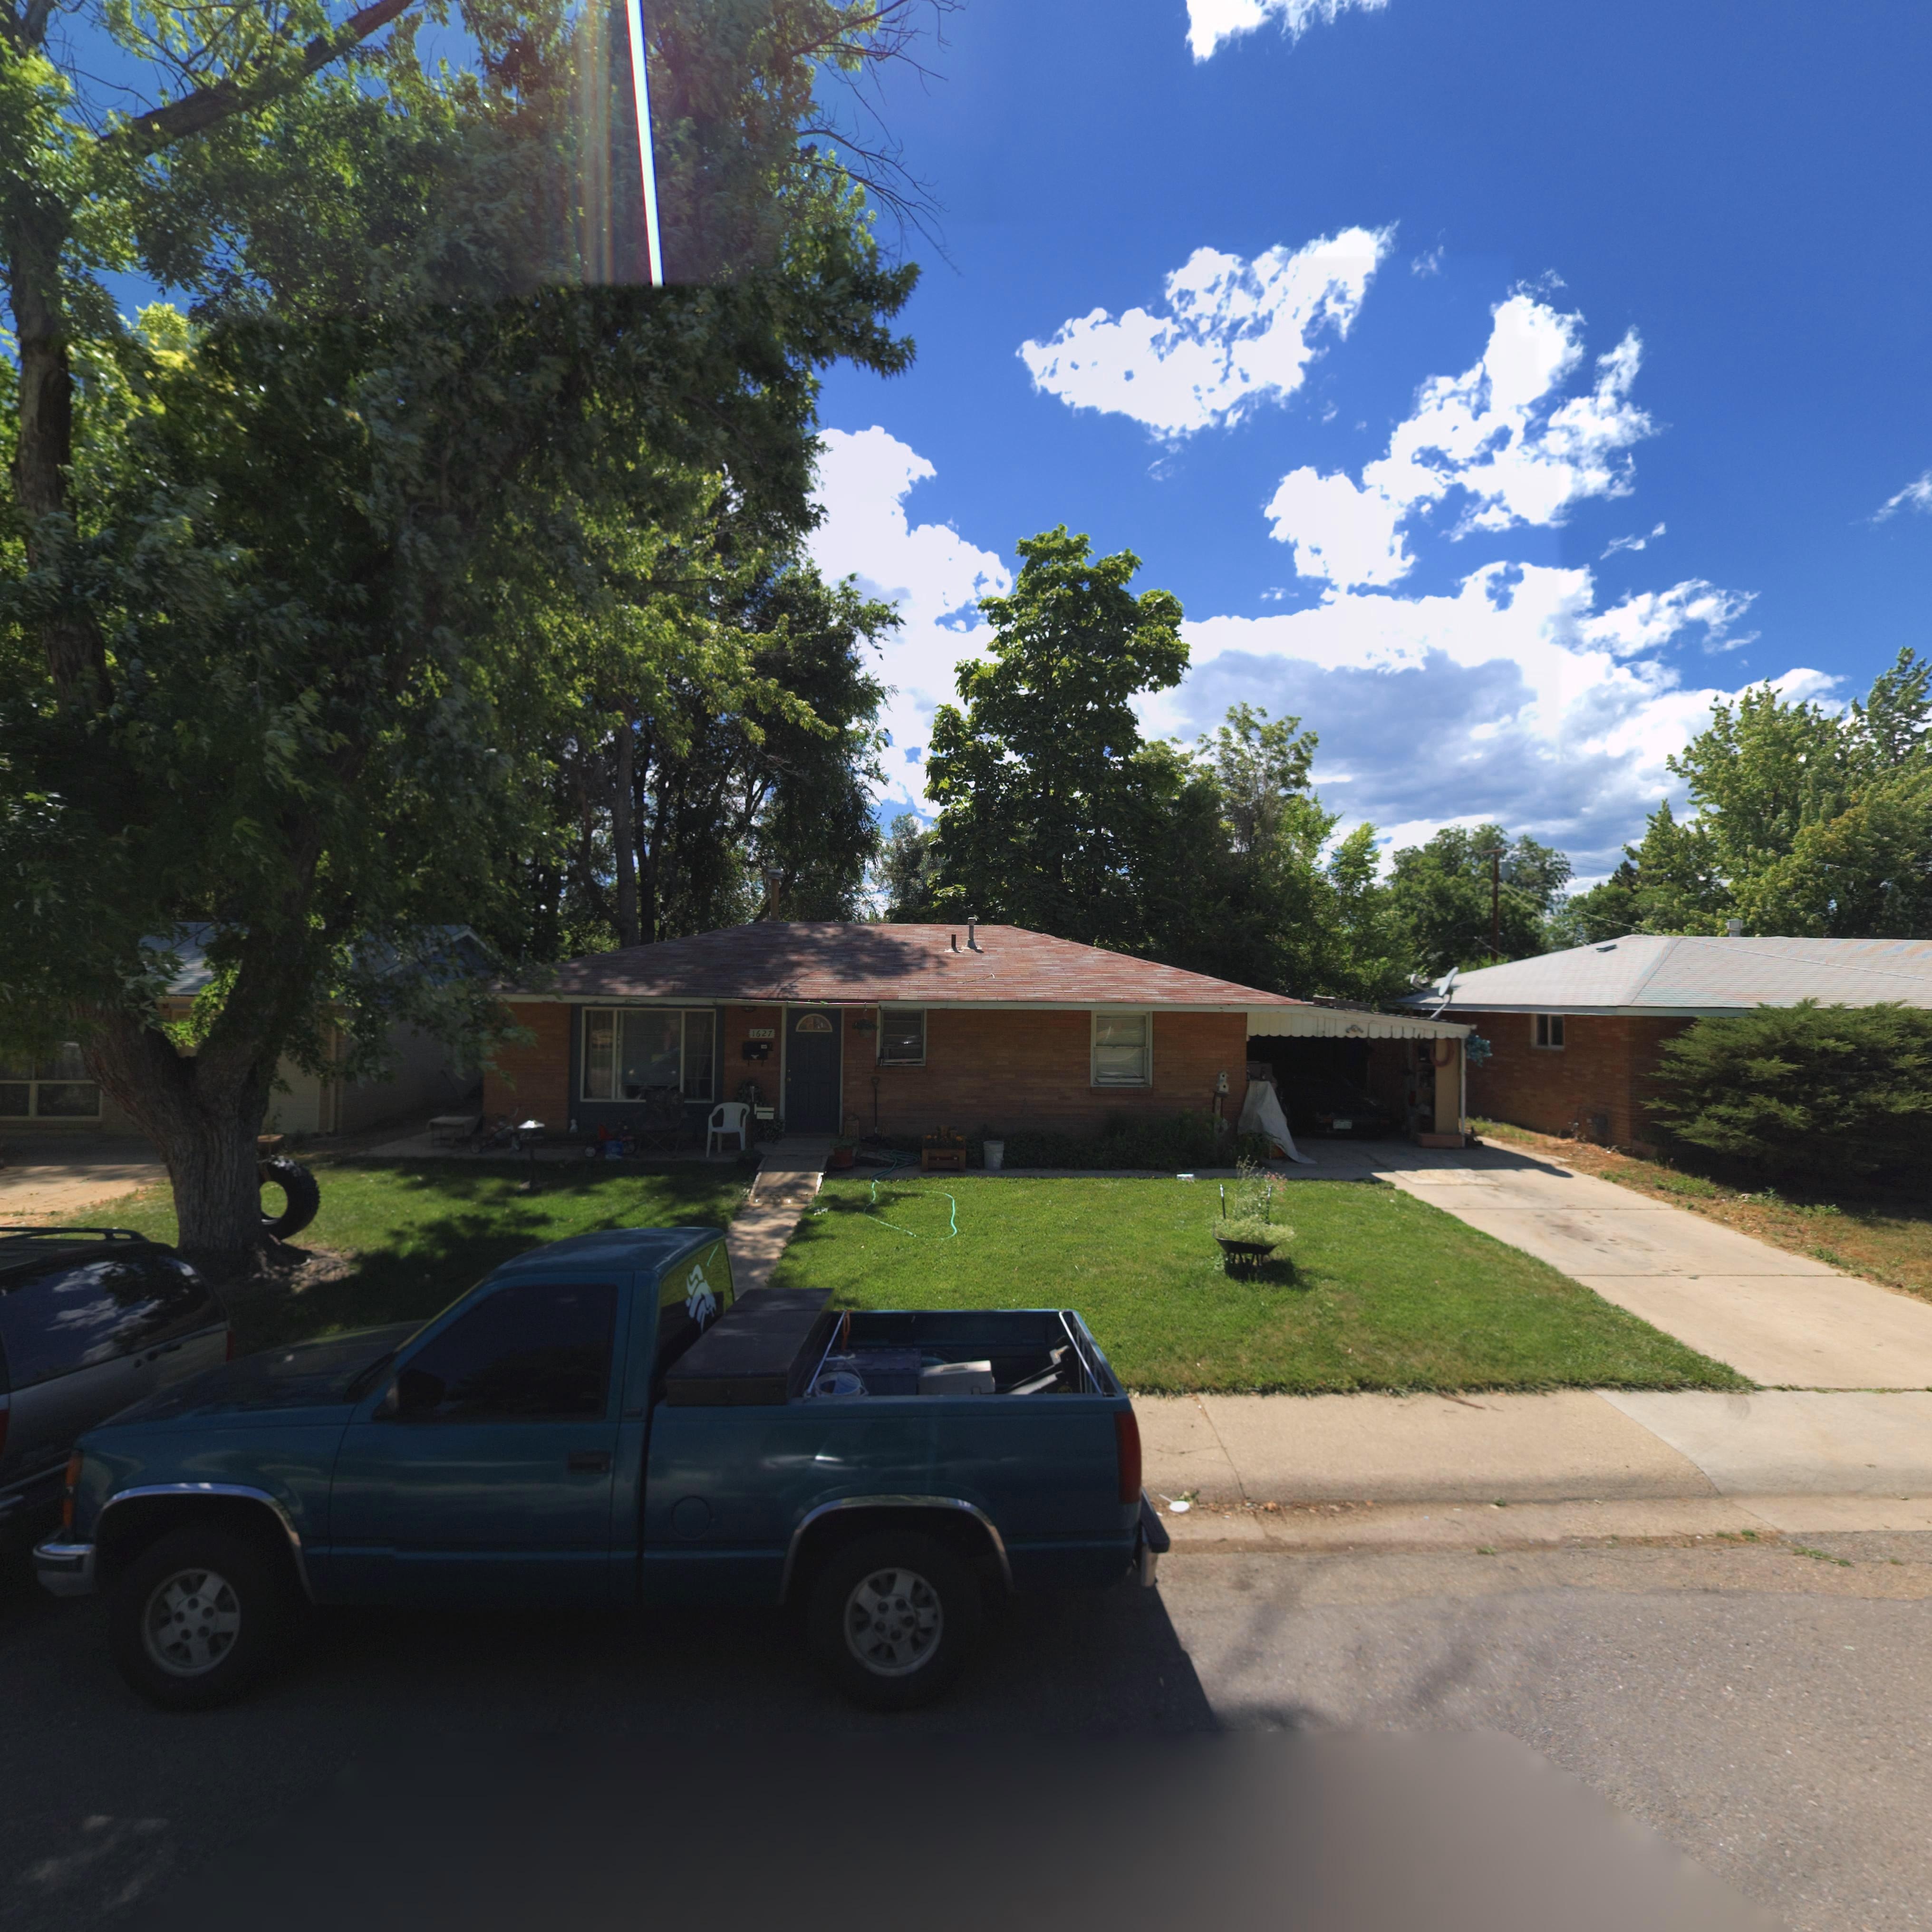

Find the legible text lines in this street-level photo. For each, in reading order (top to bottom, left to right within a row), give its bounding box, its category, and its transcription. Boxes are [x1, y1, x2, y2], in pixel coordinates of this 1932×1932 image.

[752, 1030, 773, 1037] StreetNumber: 1627